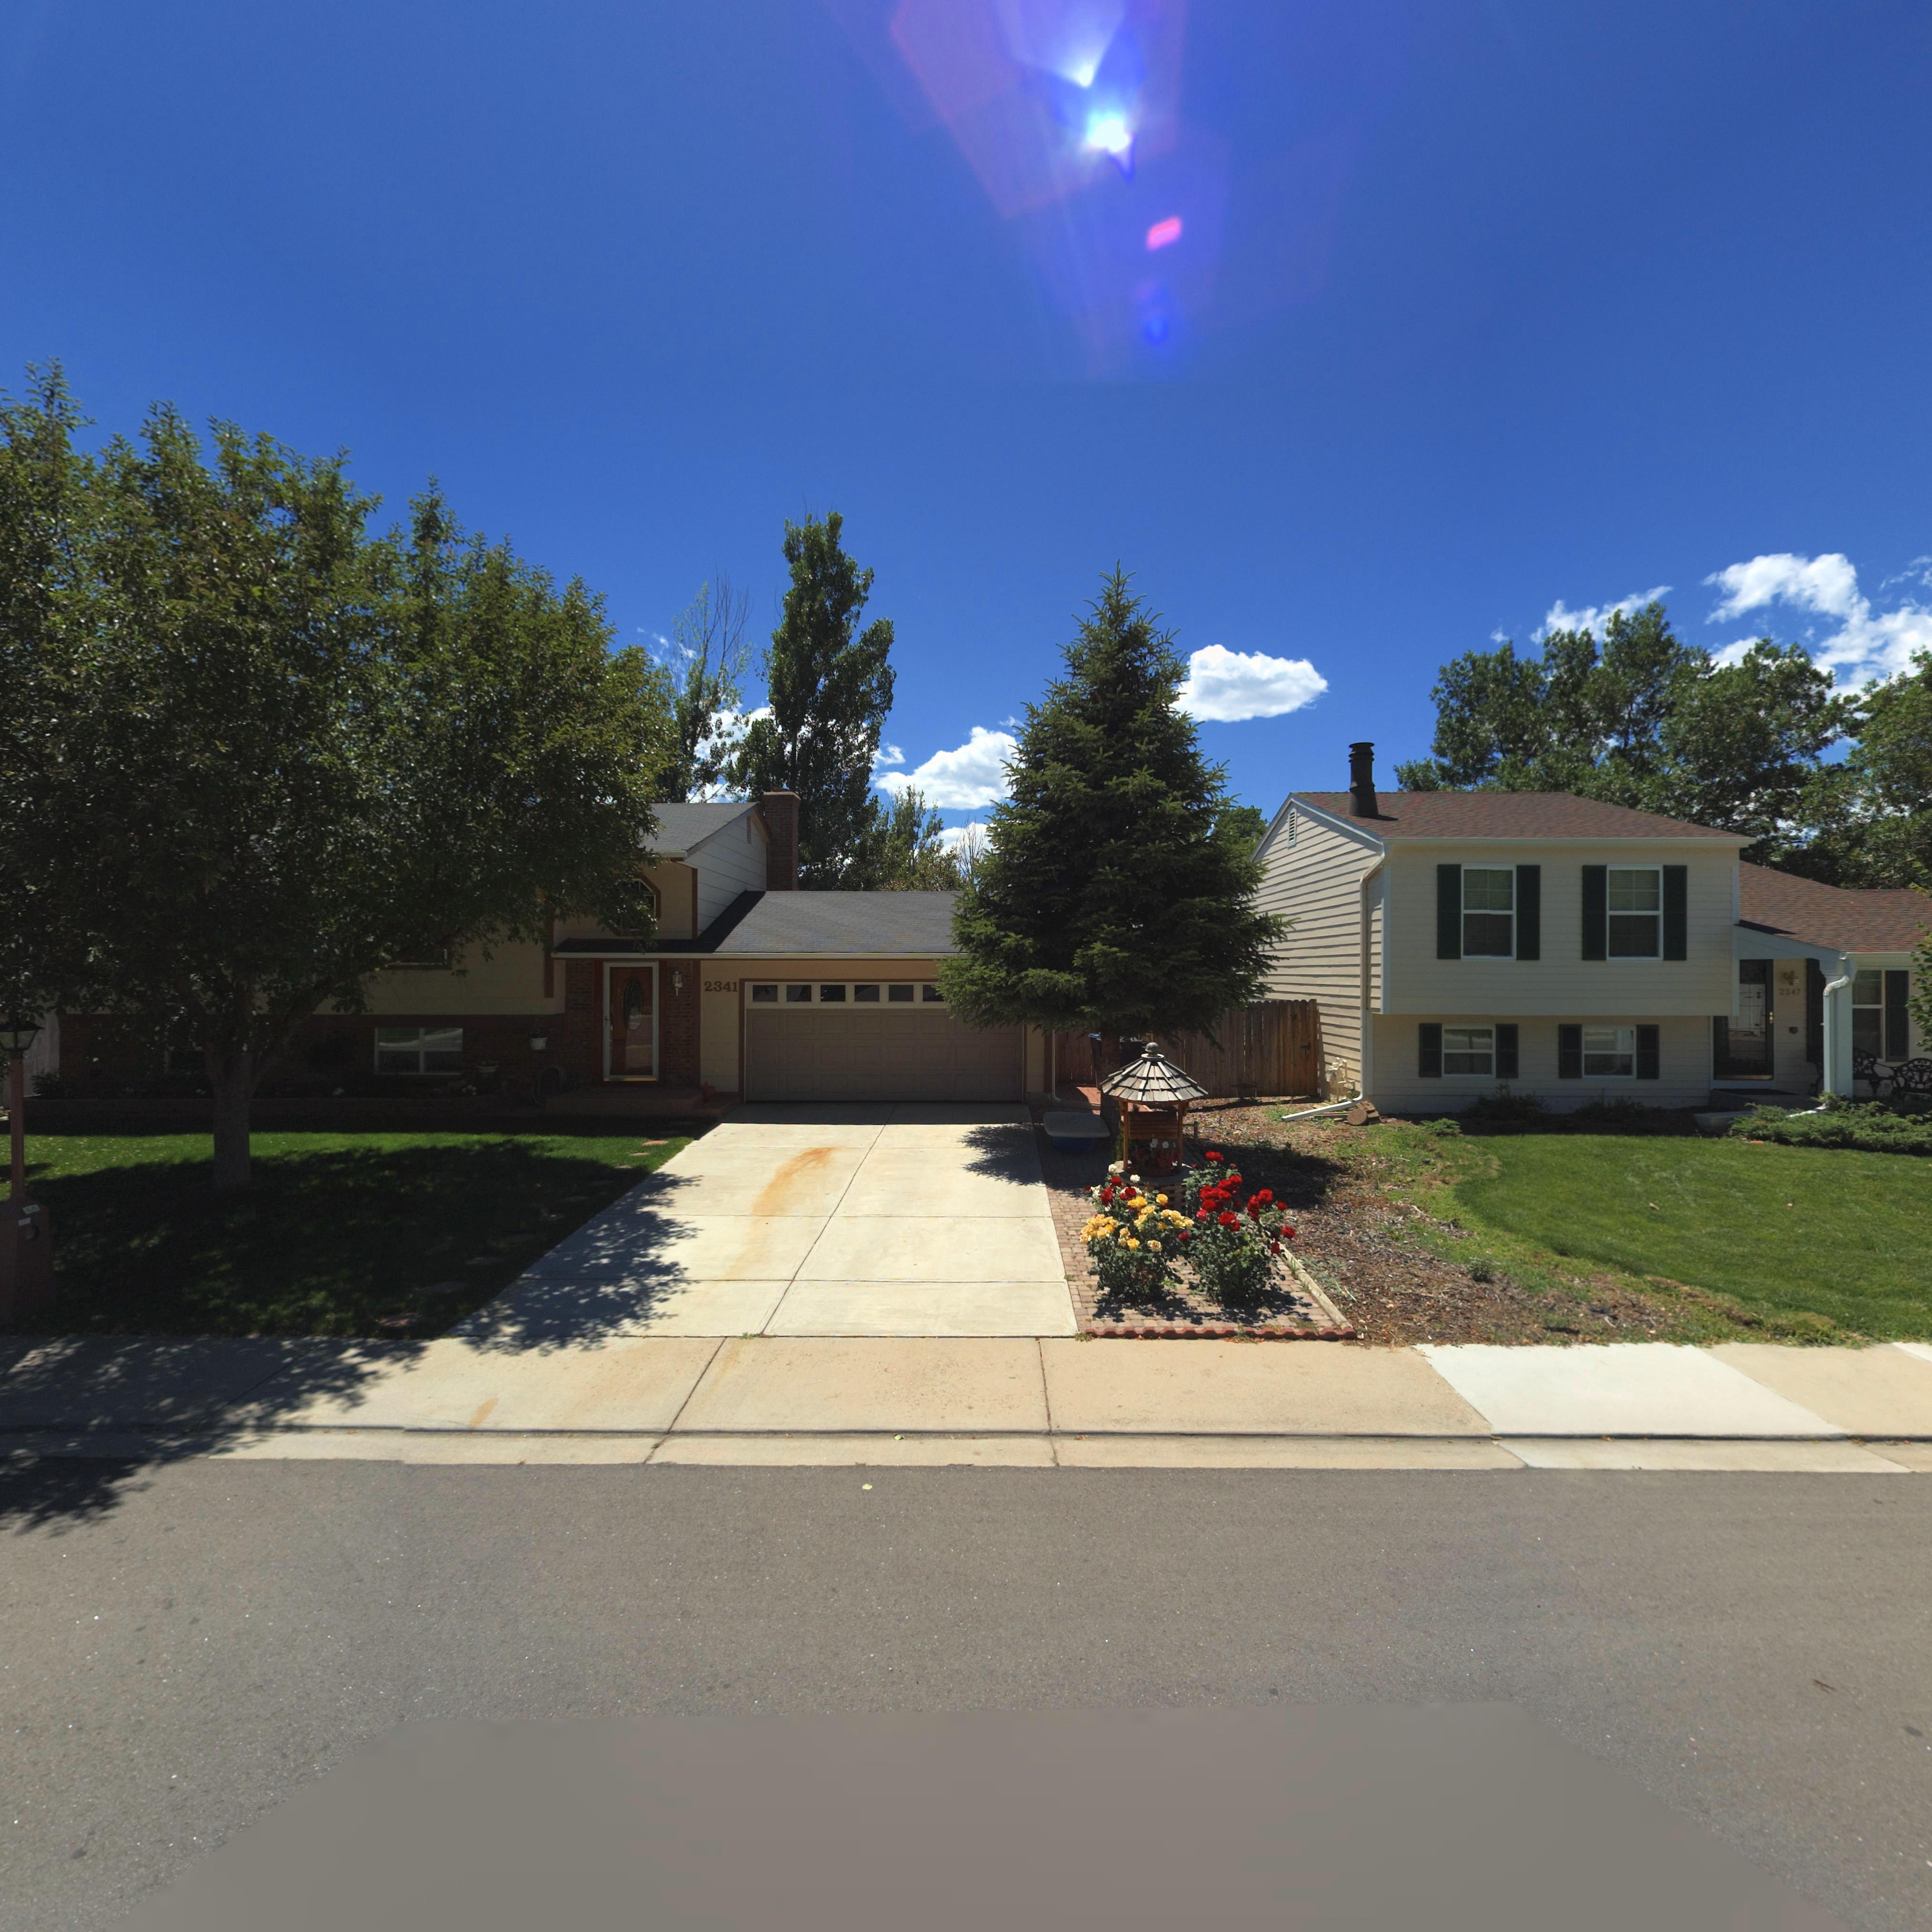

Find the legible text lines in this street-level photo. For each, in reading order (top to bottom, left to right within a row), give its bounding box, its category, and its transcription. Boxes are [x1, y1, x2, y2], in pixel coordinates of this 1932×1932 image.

[704, 981, 738, 992] StreetNumber: 2341
[1779, 988, 1801, 995] StreetNumber: 2347